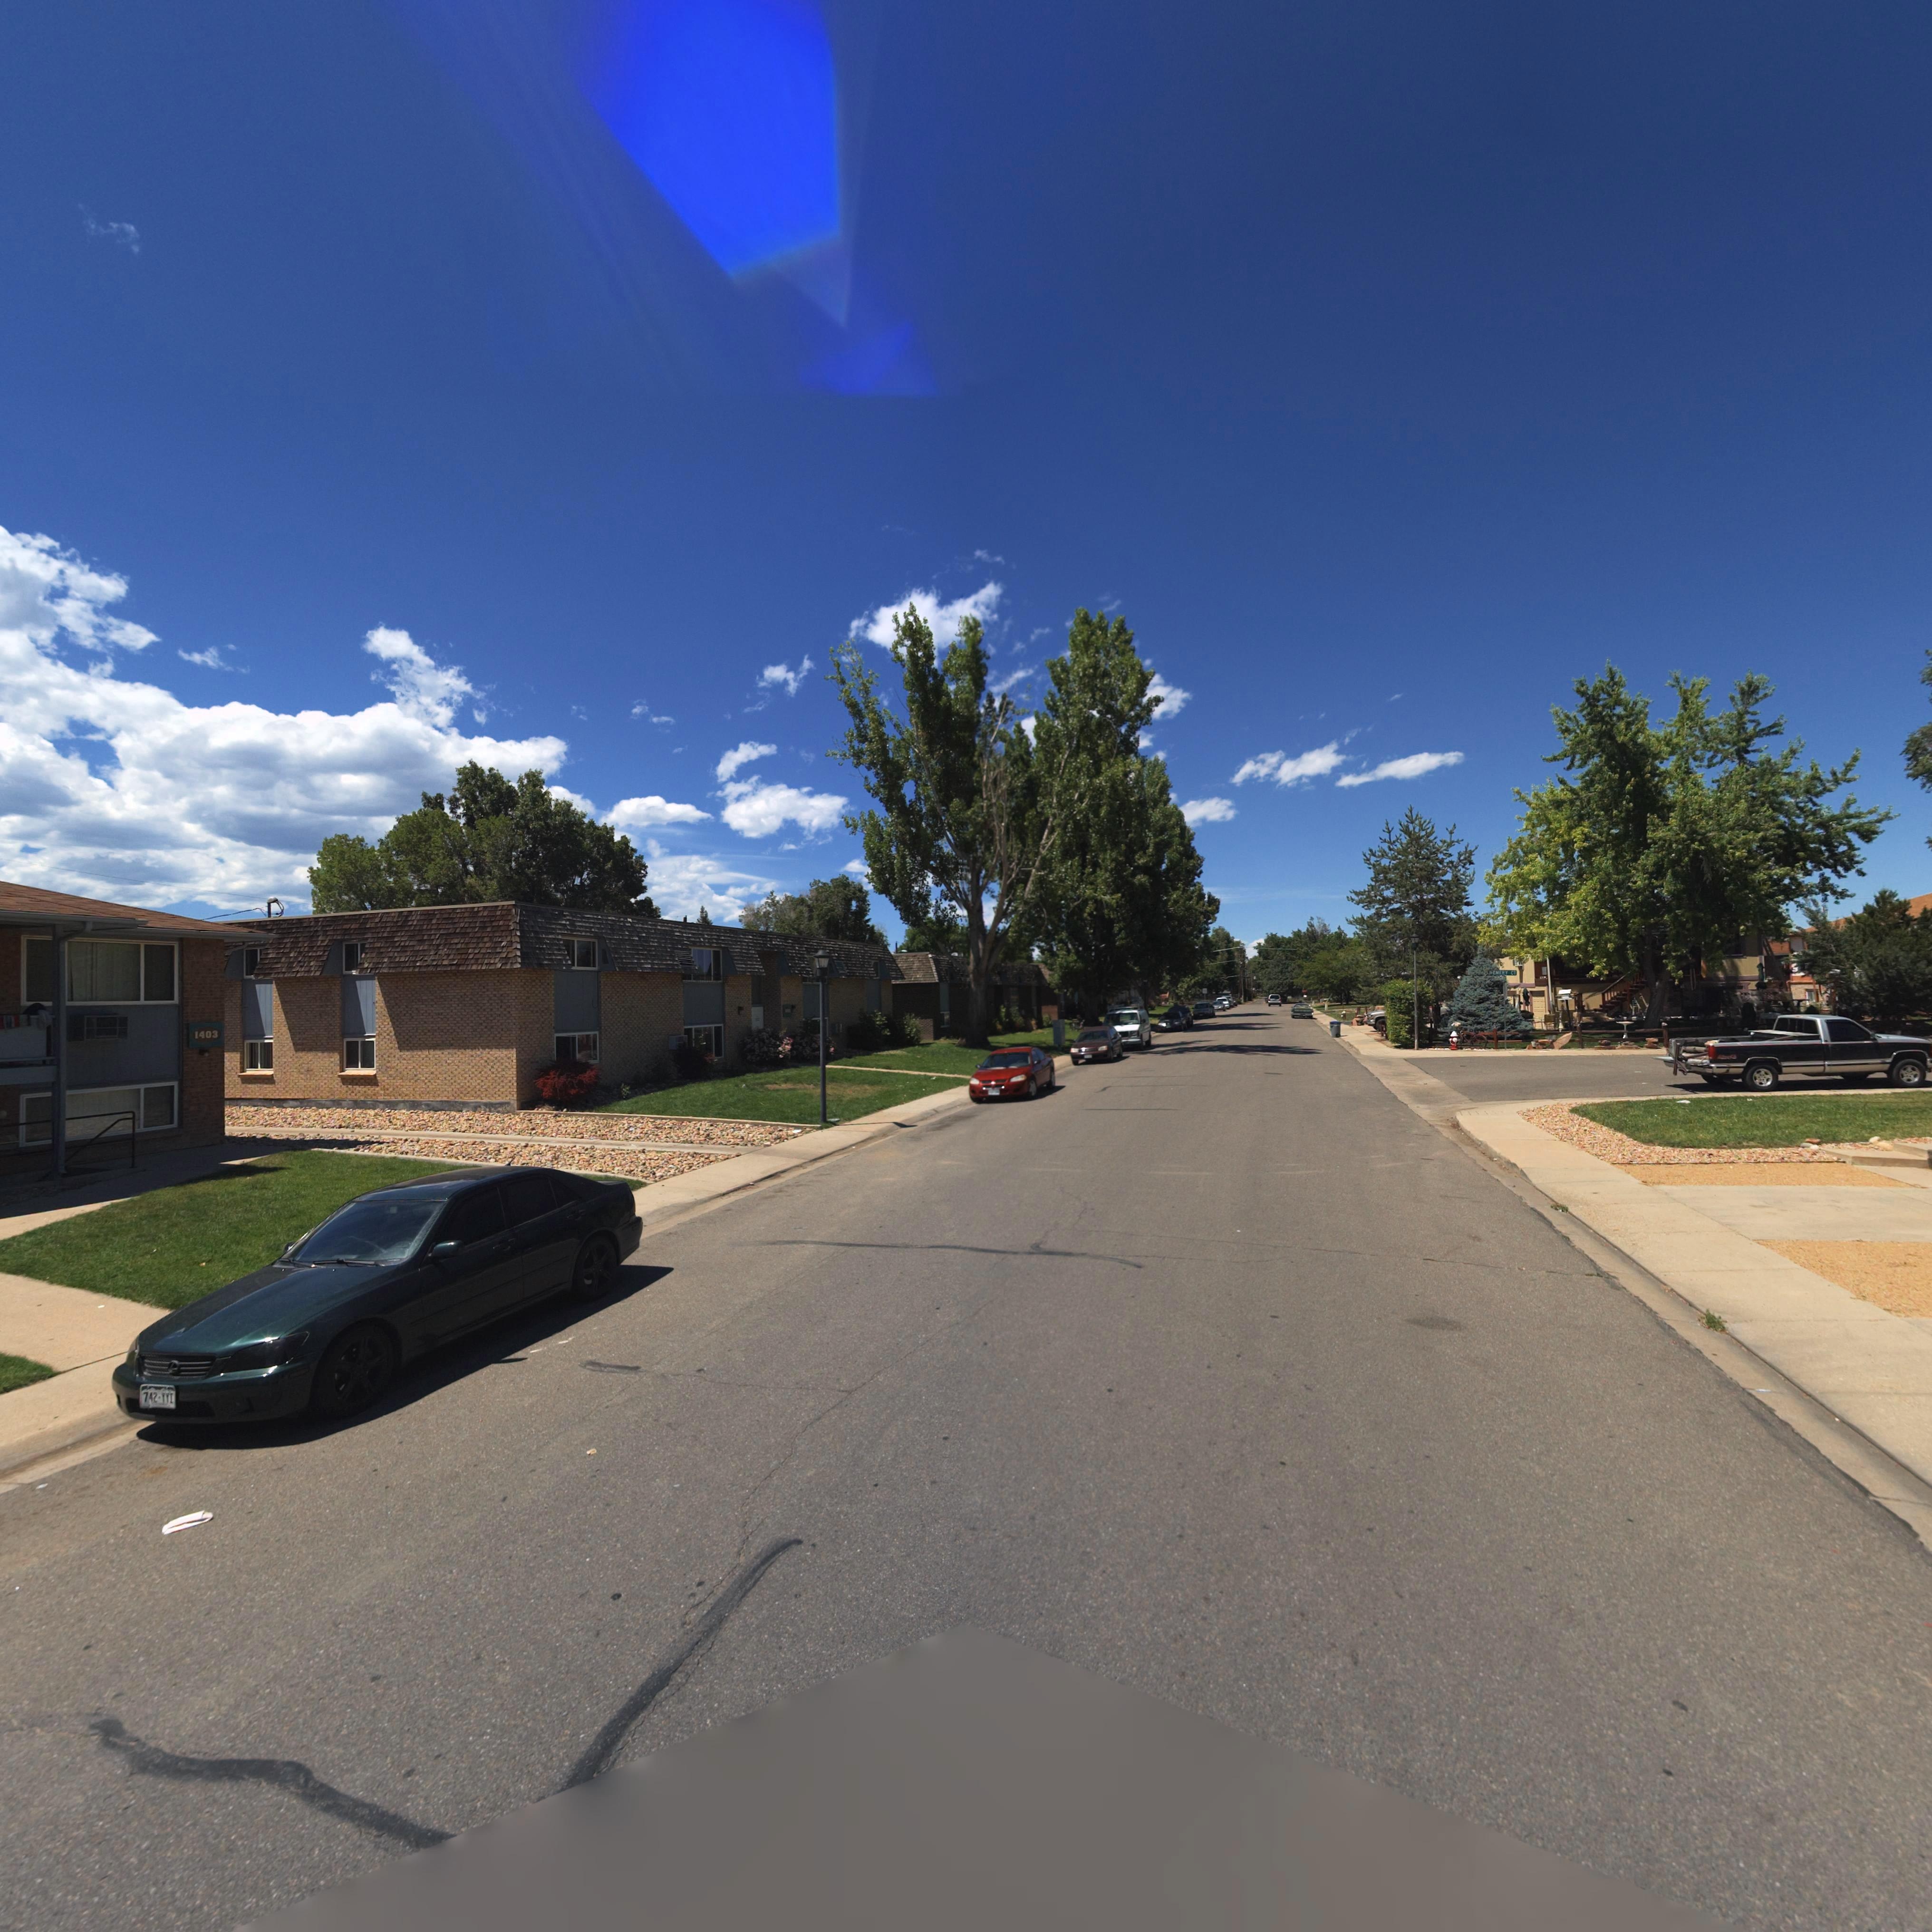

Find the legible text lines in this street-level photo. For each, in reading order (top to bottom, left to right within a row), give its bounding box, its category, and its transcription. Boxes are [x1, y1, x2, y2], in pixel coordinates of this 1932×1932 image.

[1492, 970, 1517, 975] StreetName: EMERY CT
[193, 1030, 219, 1039] StreetNumber: 1403